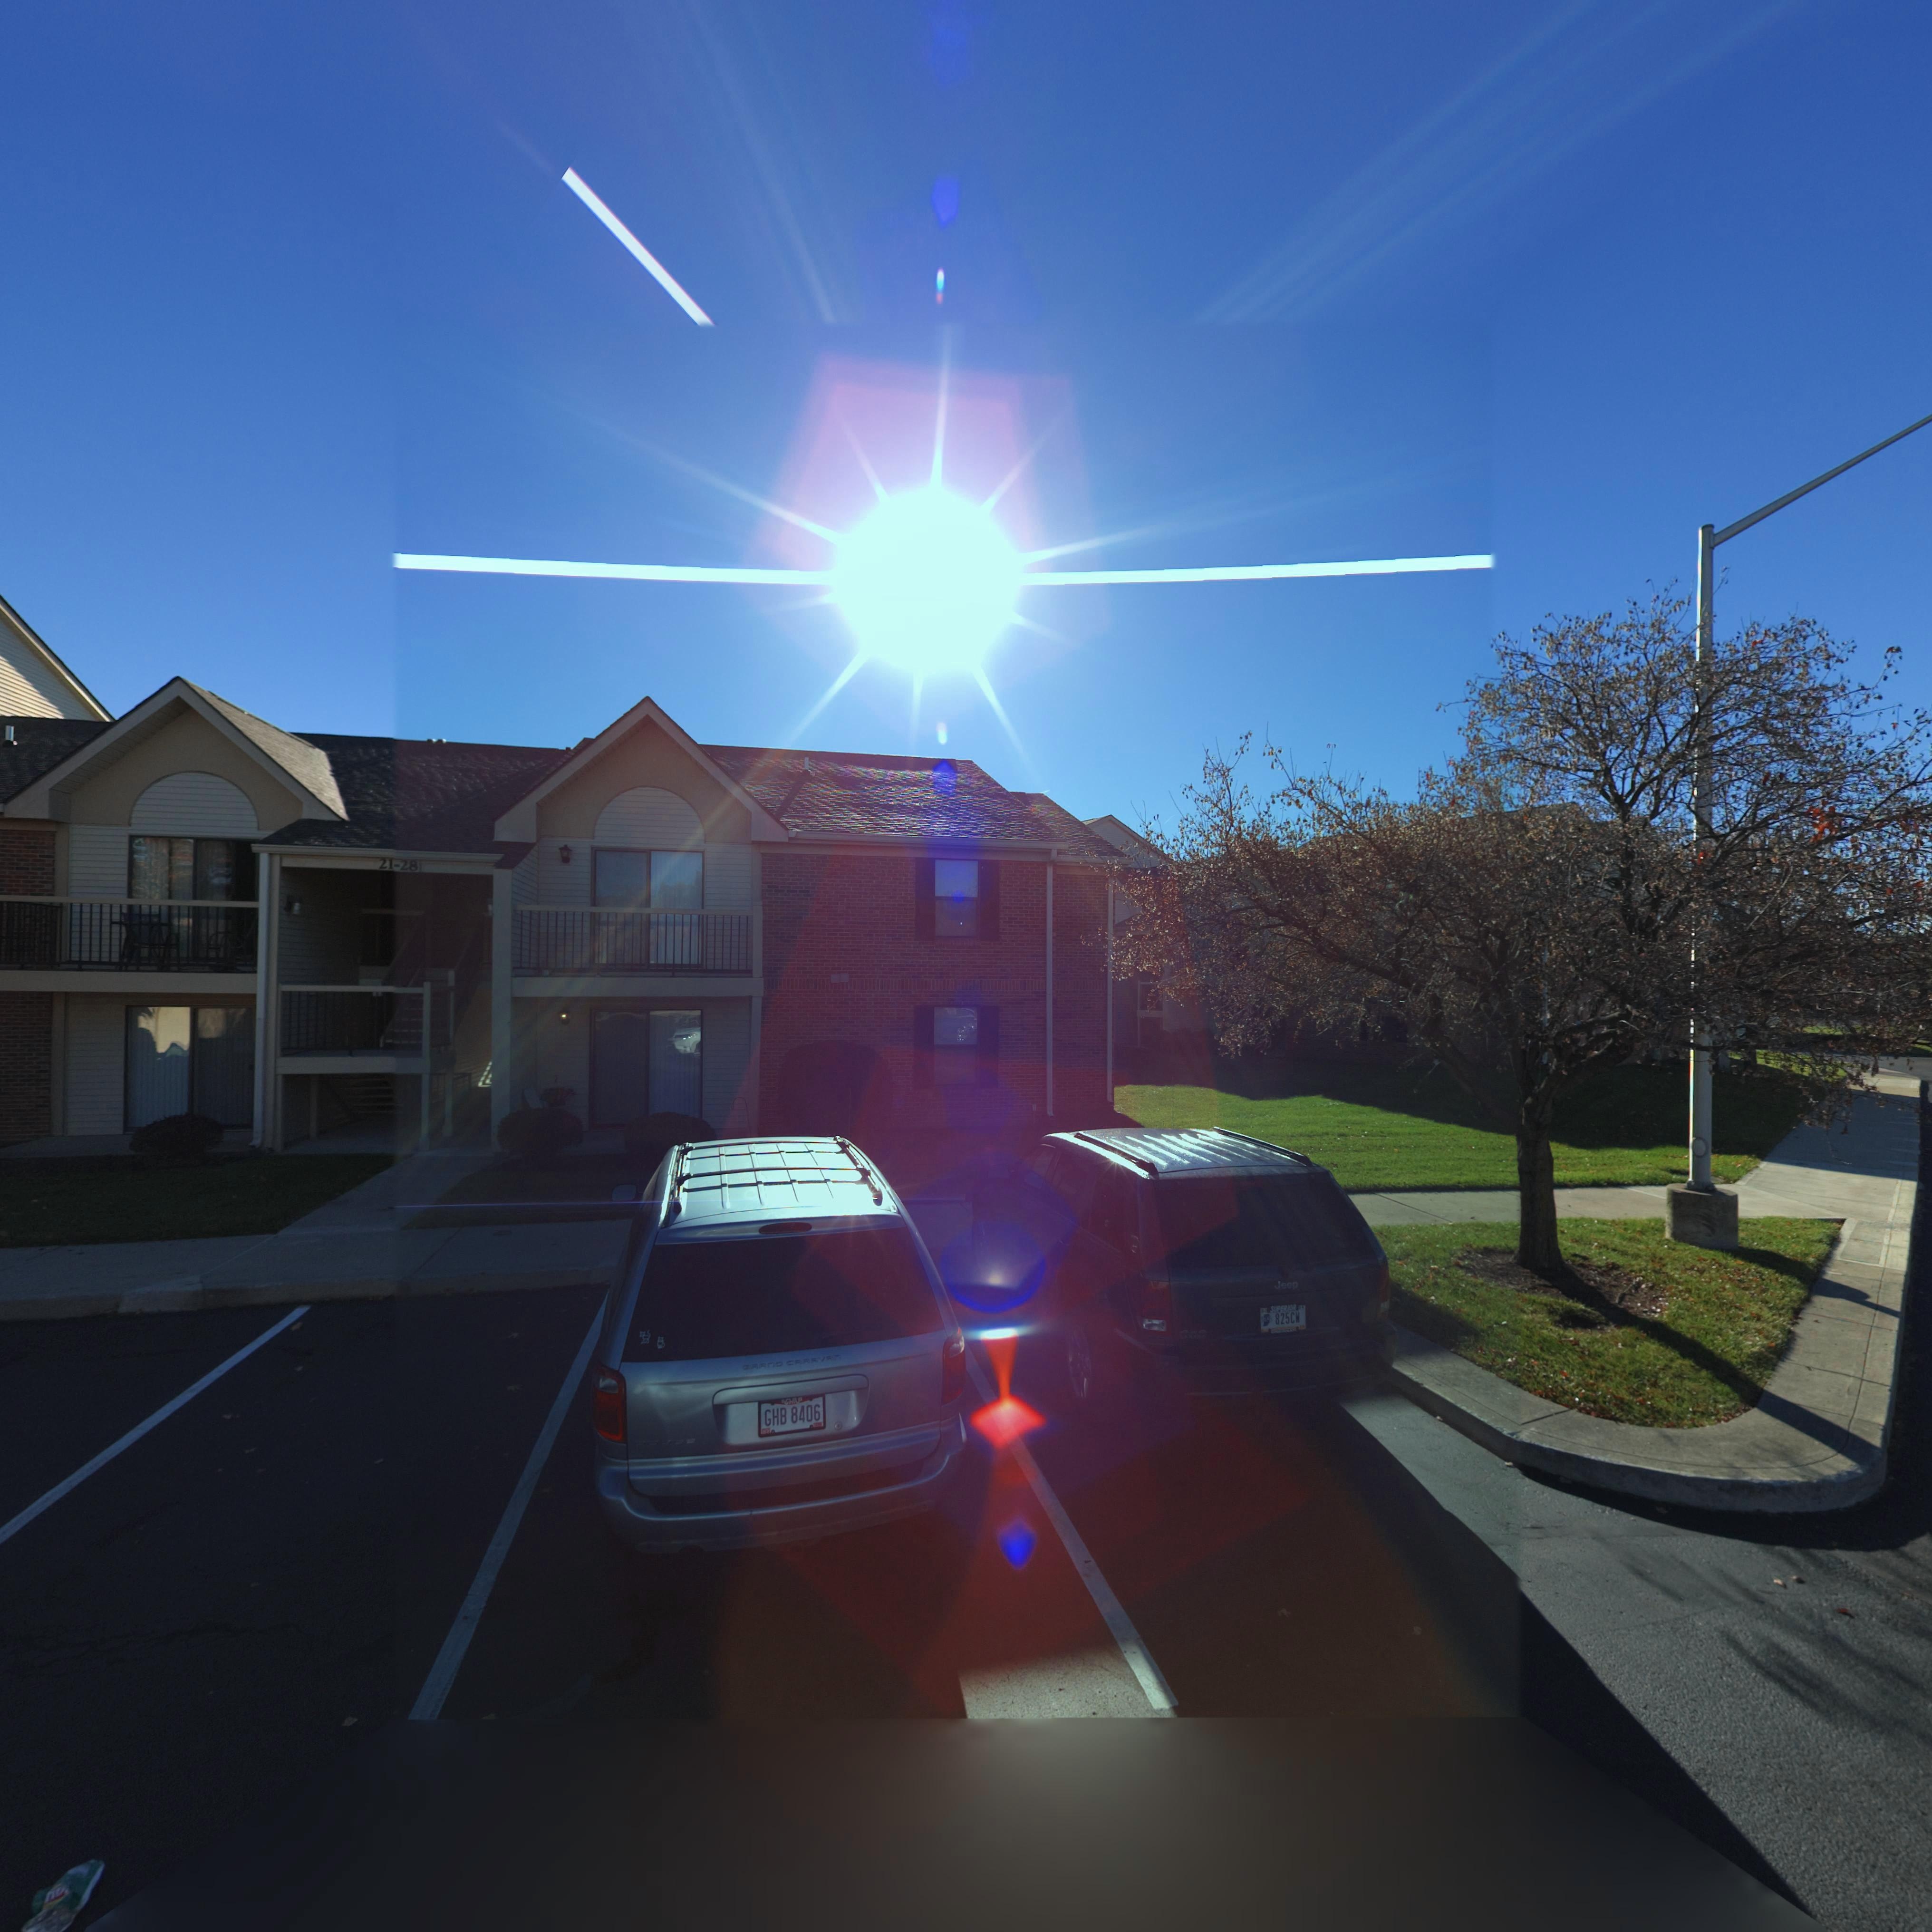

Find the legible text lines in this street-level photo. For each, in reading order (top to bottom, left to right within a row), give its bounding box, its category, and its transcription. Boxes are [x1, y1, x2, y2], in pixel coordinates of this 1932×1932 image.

[378, 858, 418, 871] StreetNumber: 21-28